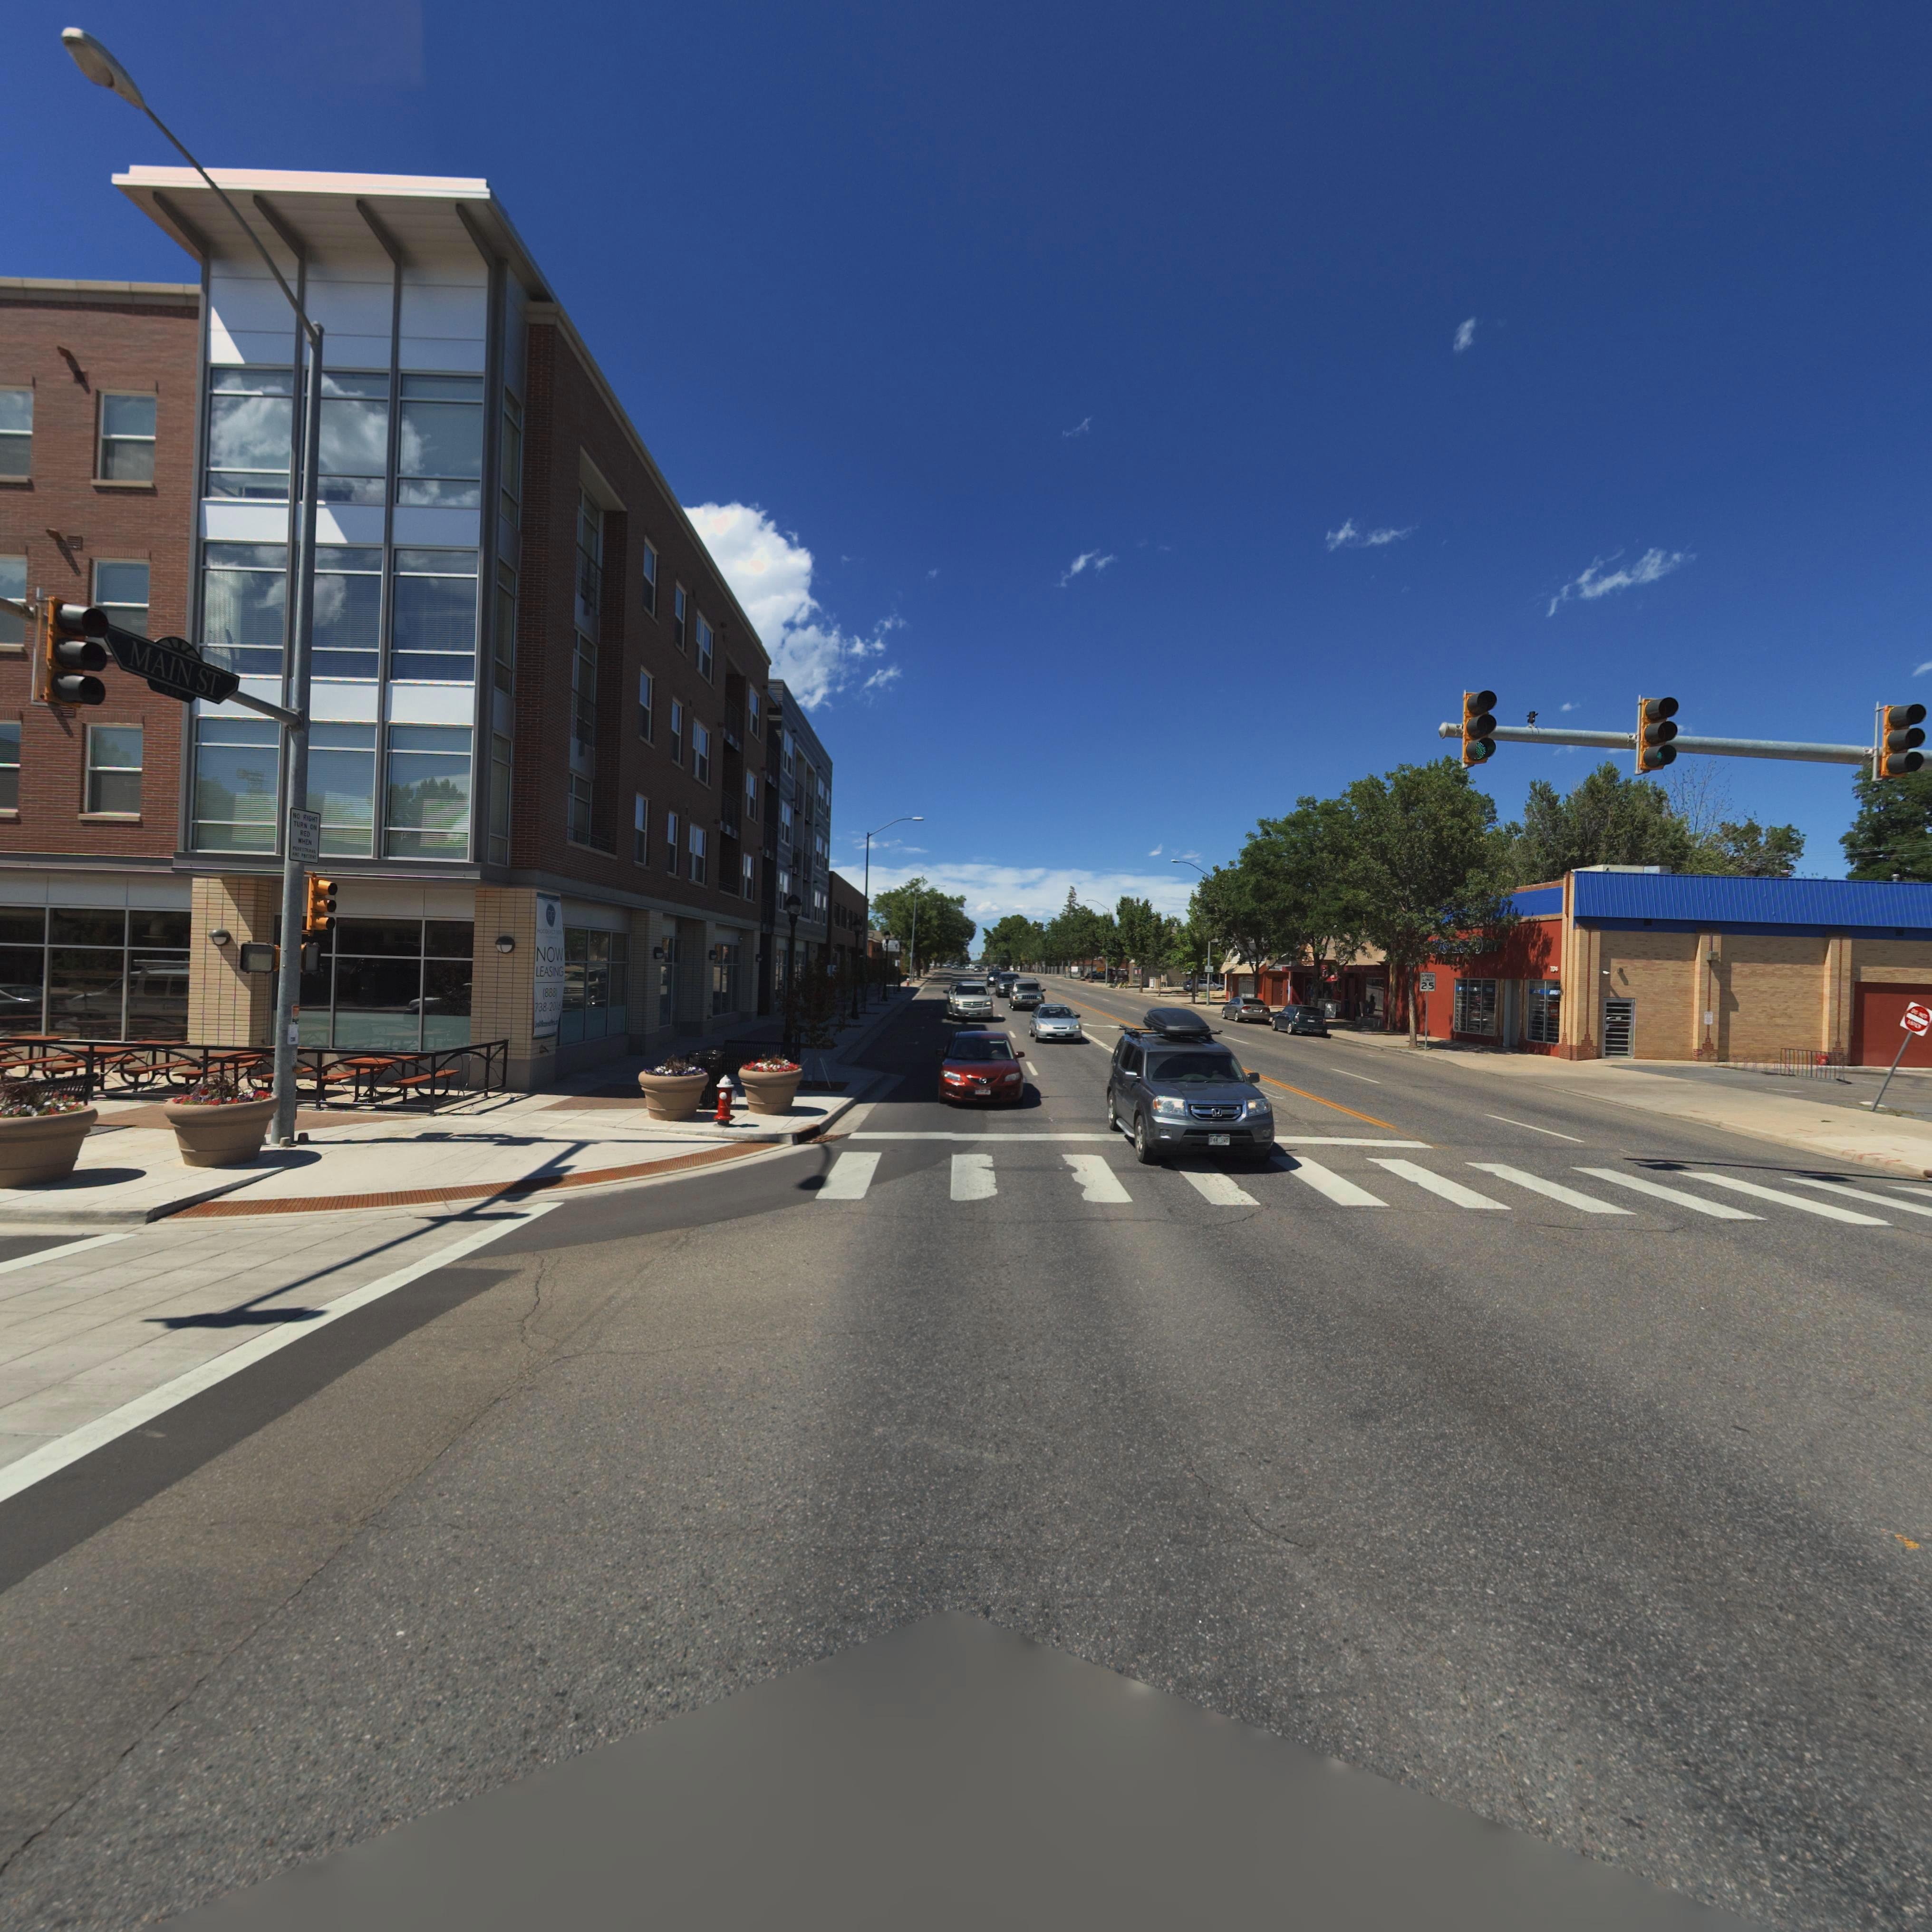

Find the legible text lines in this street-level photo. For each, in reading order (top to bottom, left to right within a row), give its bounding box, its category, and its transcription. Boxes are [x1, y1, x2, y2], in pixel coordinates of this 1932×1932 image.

[128, 640, 221, 697] StreetName: MAIN ST
[163, 686, 181, 697] StreetNumberRange: *0*
[547, 910, 555, 920] BusinessName: *P
[537, 928, 562, 935] BusinessName: *OO****** ****
[1549, 966, 1558, 972] StreetNumber: **4